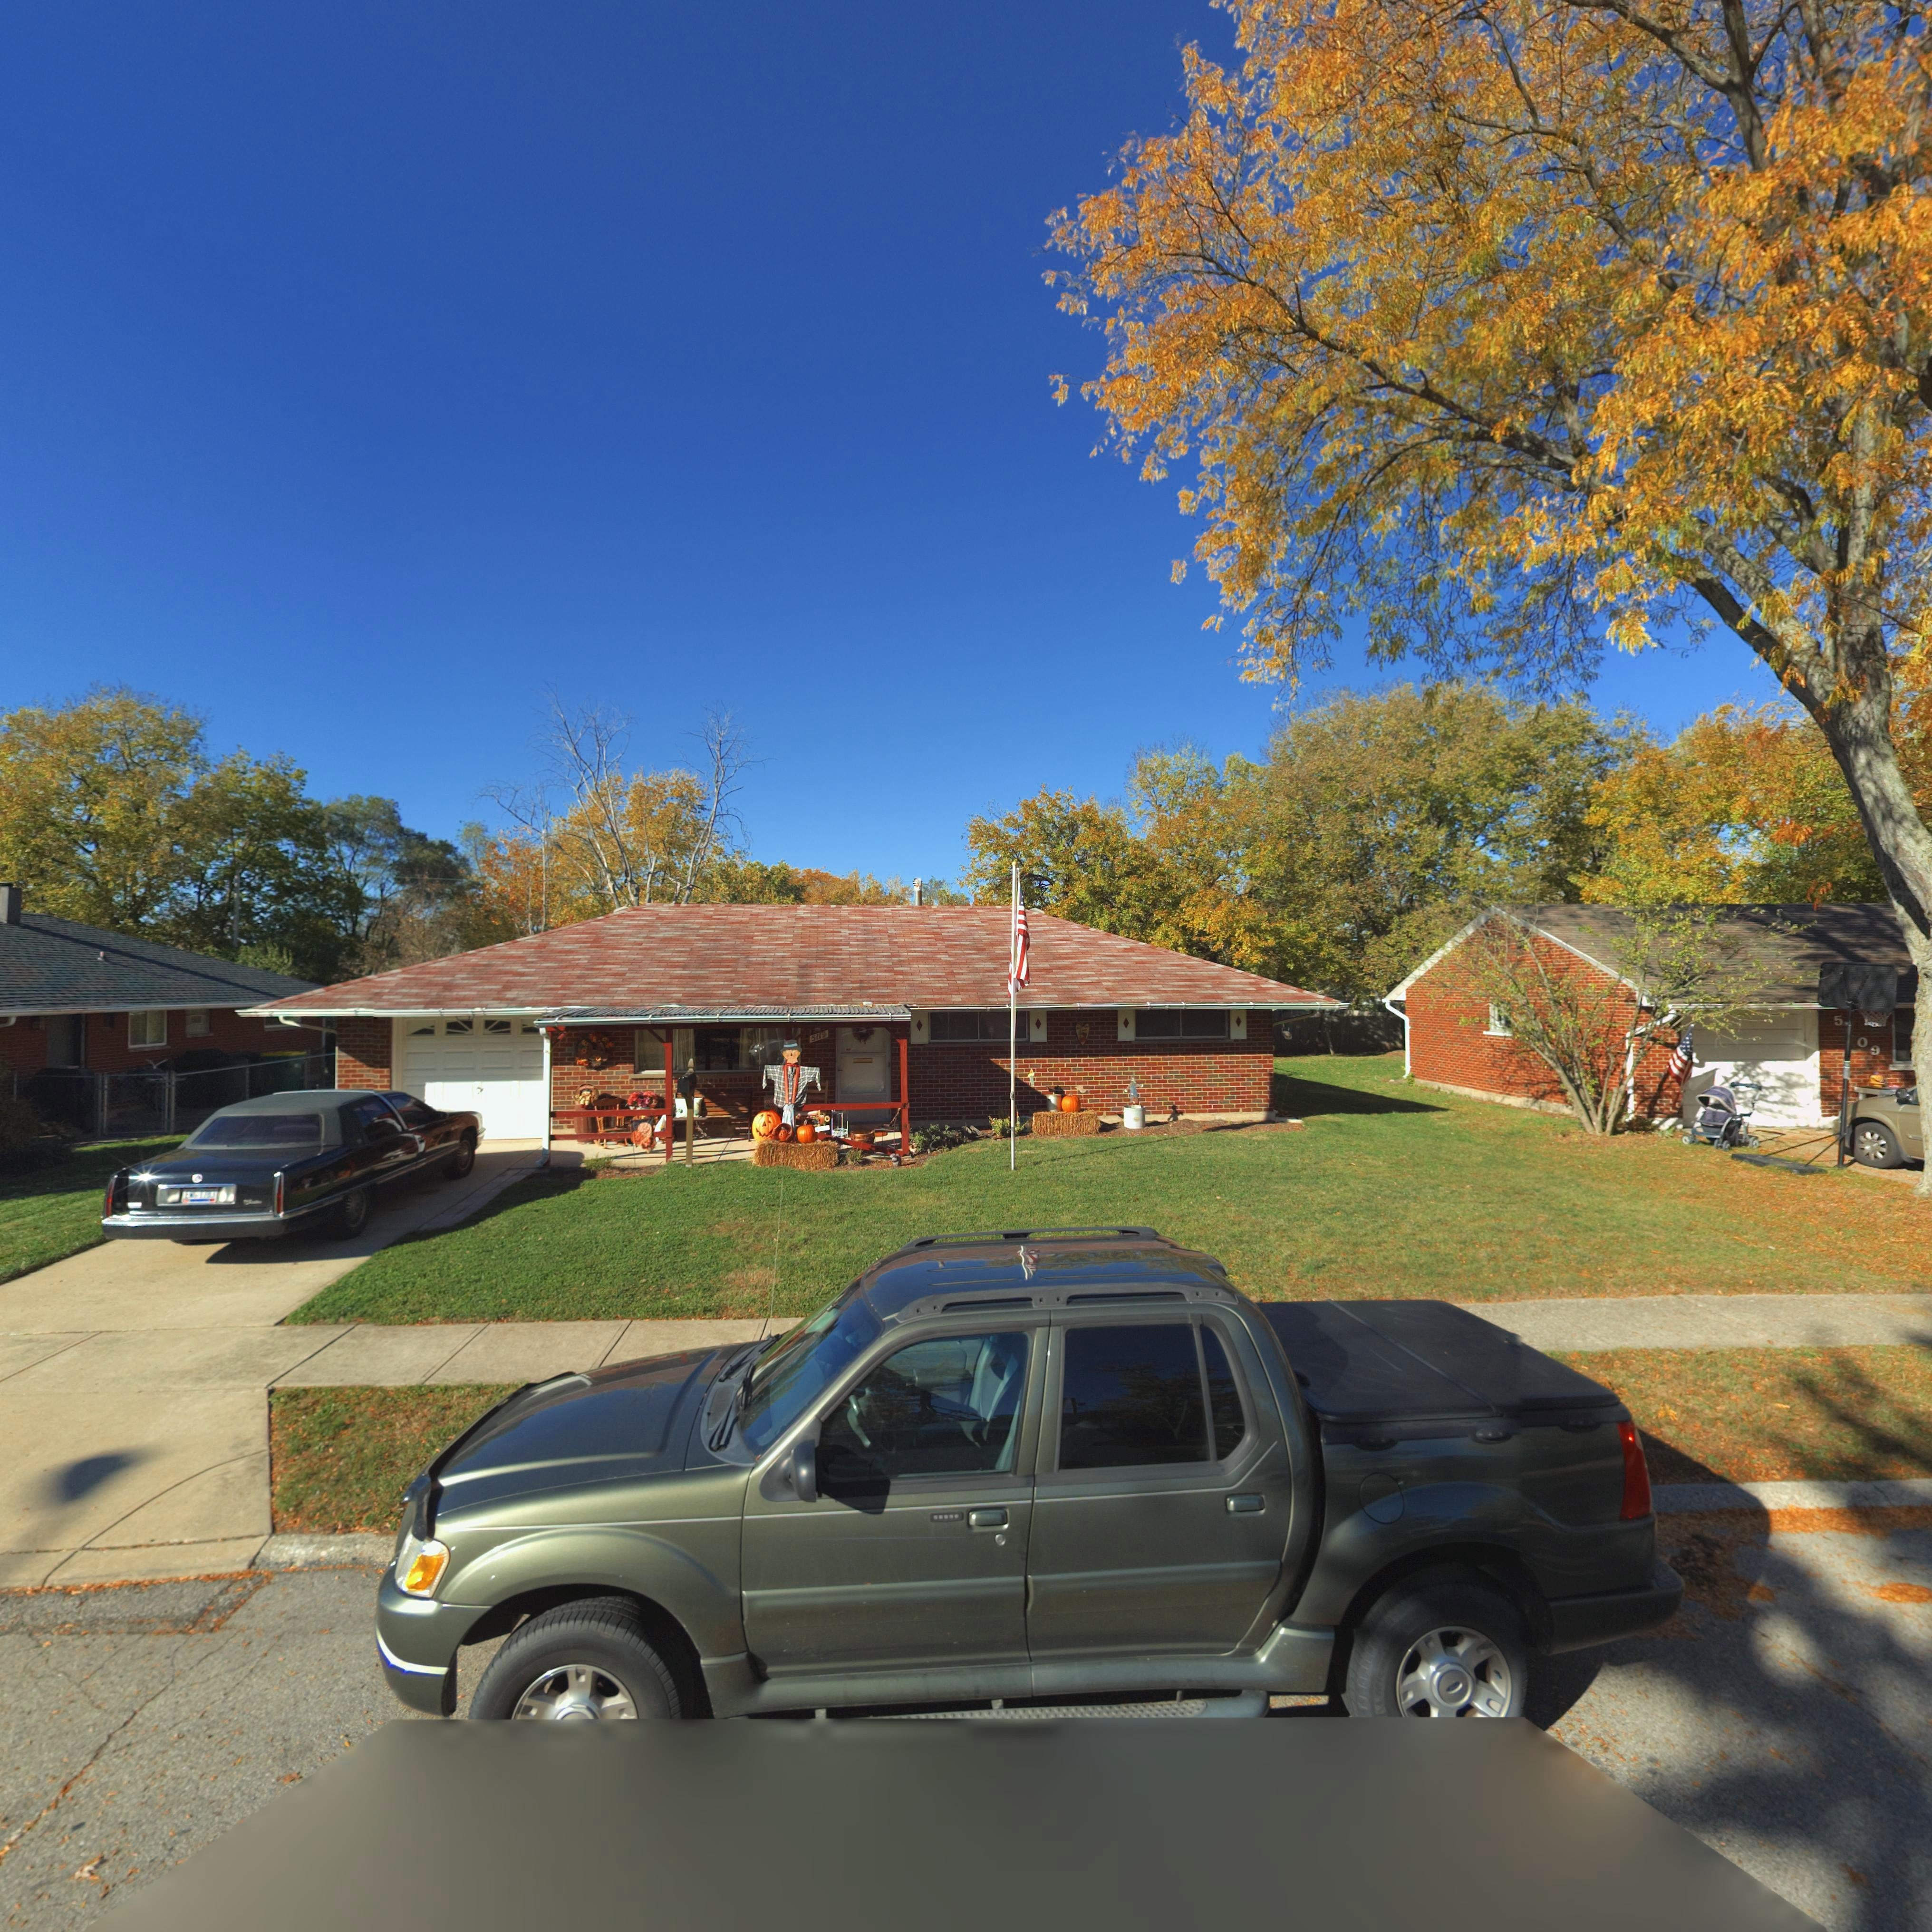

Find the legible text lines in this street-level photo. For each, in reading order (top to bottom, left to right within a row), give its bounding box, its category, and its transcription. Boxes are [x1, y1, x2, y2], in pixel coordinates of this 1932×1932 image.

[811, 1030, 828, 1043] StreetNumber: 5119
[1834, 1014, 1881, 1057] StreetNumber: 5*09